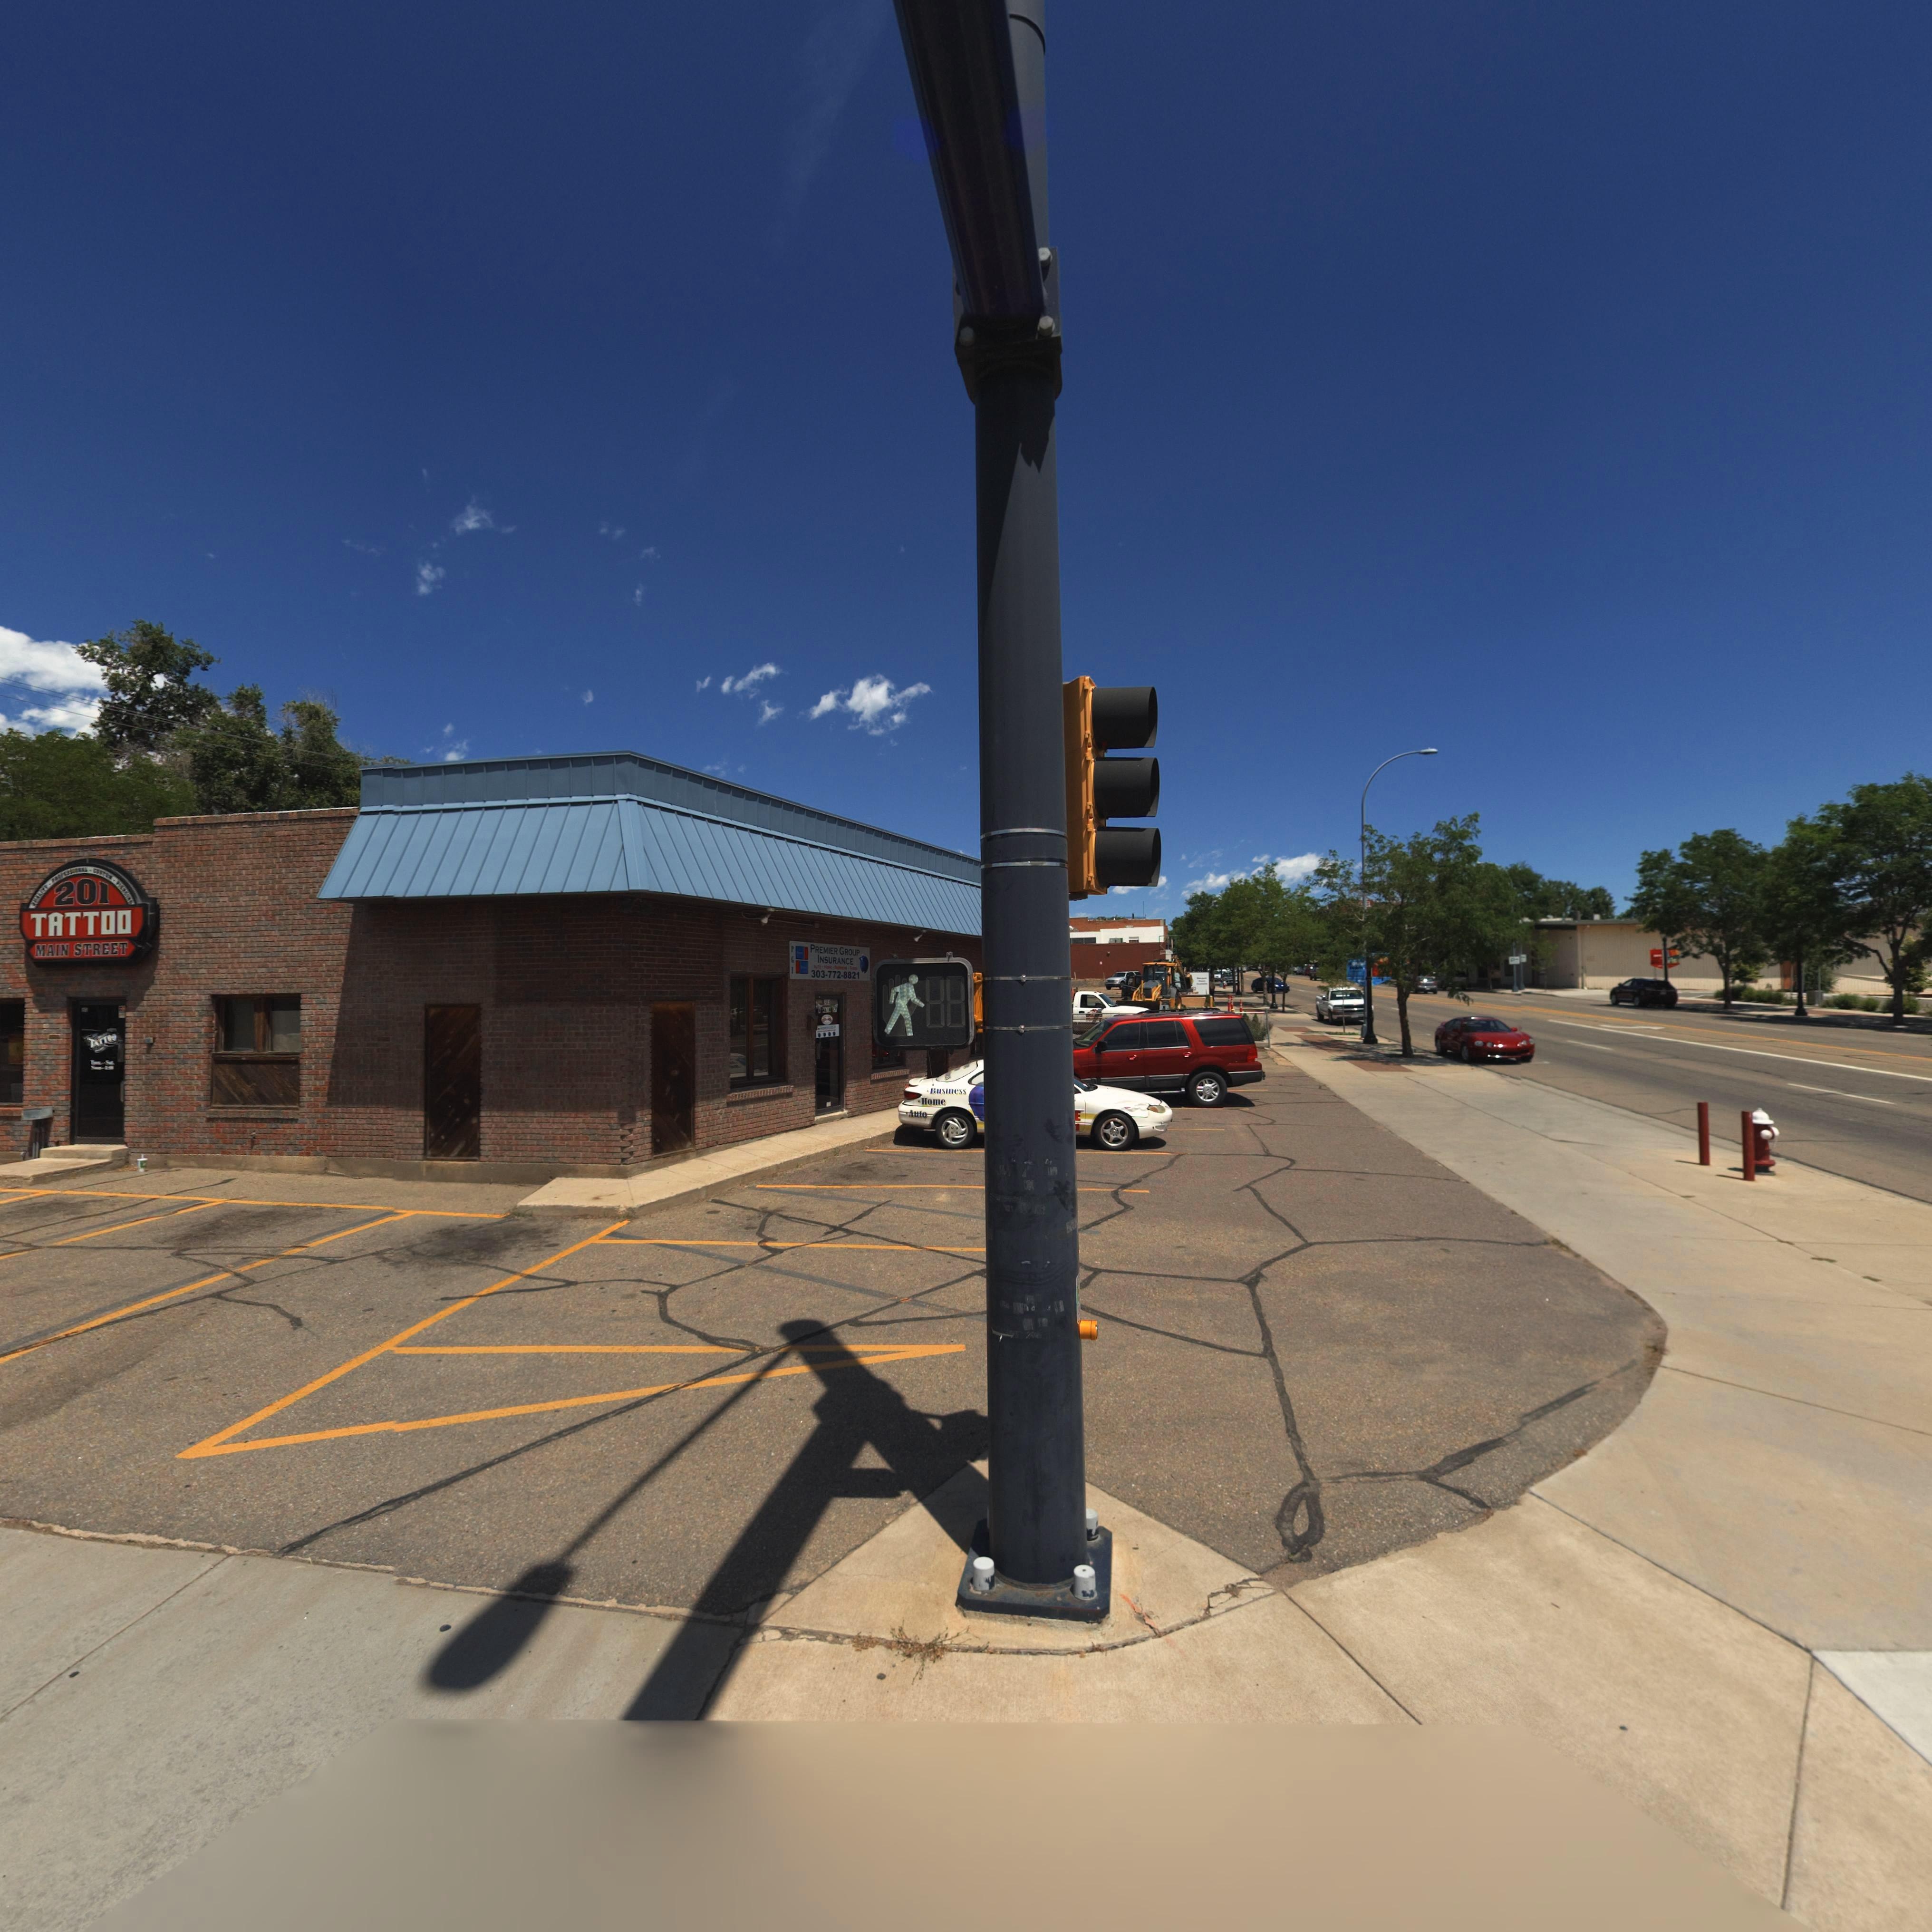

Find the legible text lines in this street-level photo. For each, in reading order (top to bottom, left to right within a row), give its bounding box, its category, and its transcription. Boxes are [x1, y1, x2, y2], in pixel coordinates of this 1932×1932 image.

[54, 878, 110, 906] StreetNumber: 201
[30, 909, 133, 937] BusinessName: TATTOO
[35, 942, 127, 956] BusinessName: MAIN STREET
[810, 943, 860, 956] BusinessName: PREMIER GROUP
[817, 954, 854, 965] BusinessName: INSURANCE
[823, 999, 830, 1005] StreetNumber: *03
[818, 1007, 837, 1013] StreetName: * *AIN ST
[87, 1033, 117, 1048] BusinessName: TATTOO